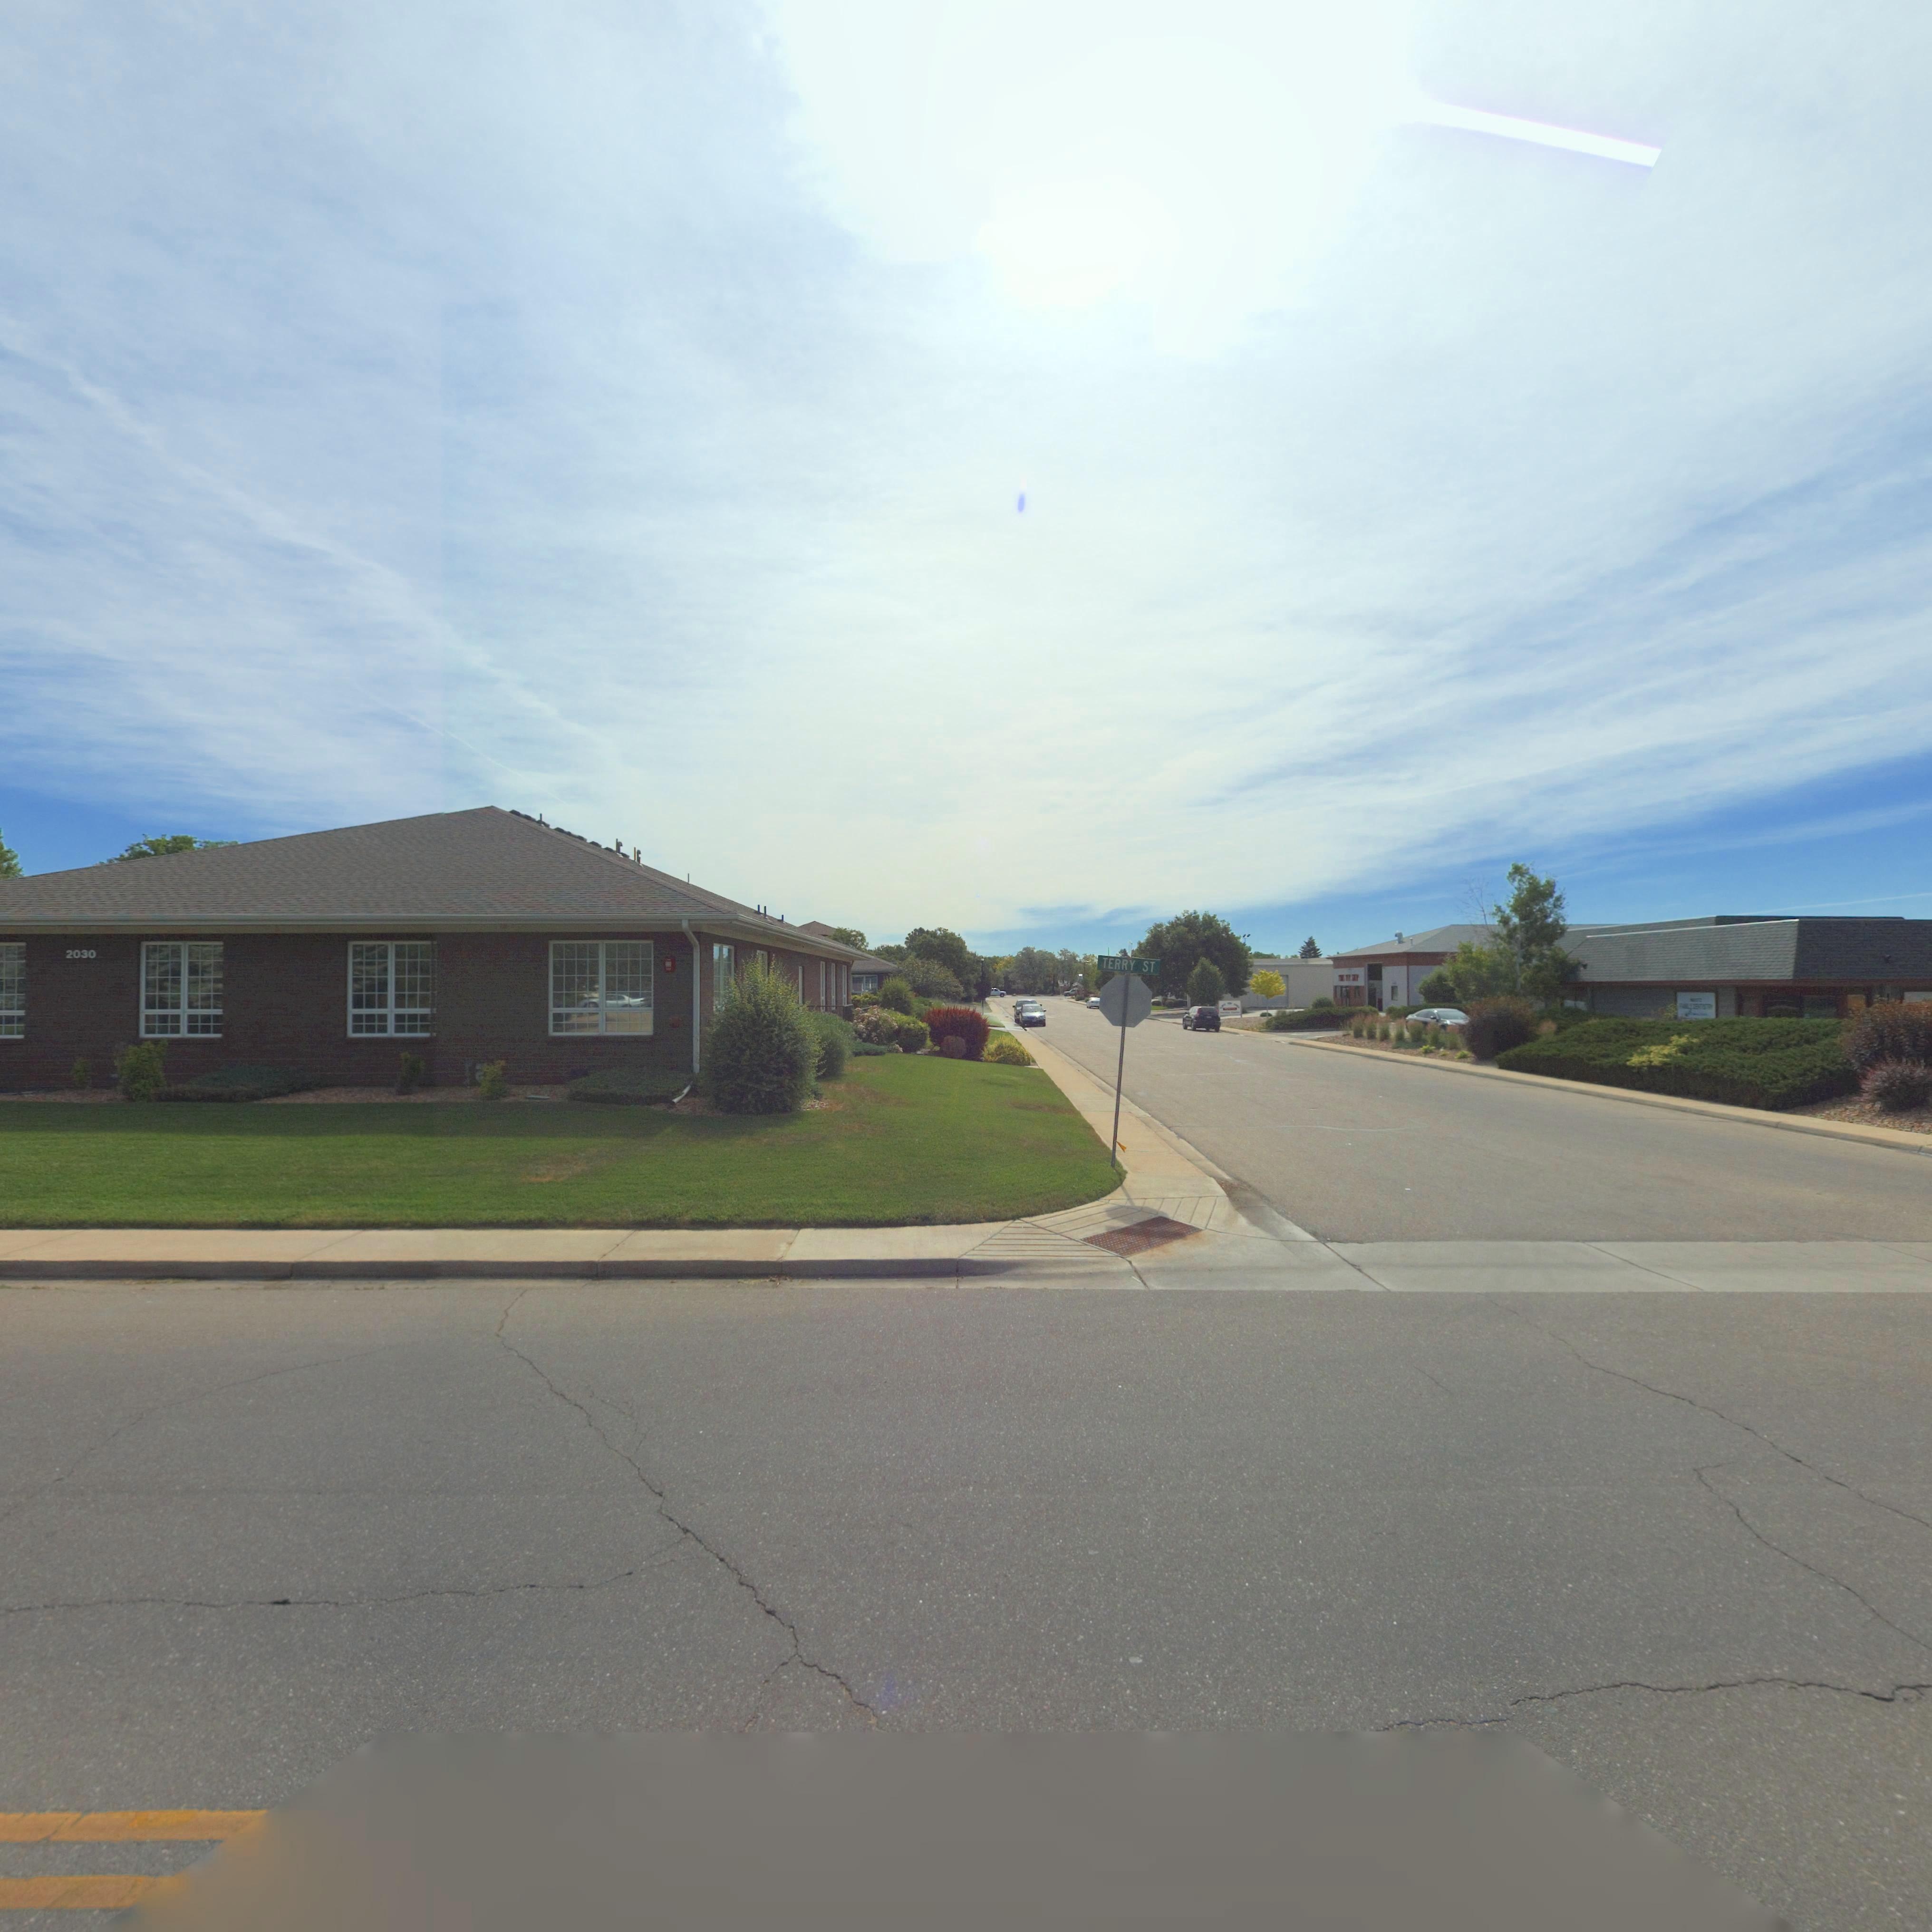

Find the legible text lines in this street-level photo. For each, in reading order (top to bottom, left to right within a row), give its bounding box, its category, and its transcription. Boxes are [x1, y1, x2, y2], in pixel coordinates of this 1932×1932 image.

[65, 949, 97, 959] StreetNumber: 2030
[1101, 957, 1156, 973] StreetName: TERRY ST
[1677, 1003, 1713, 1010] BusinessName: F***** DE***S***